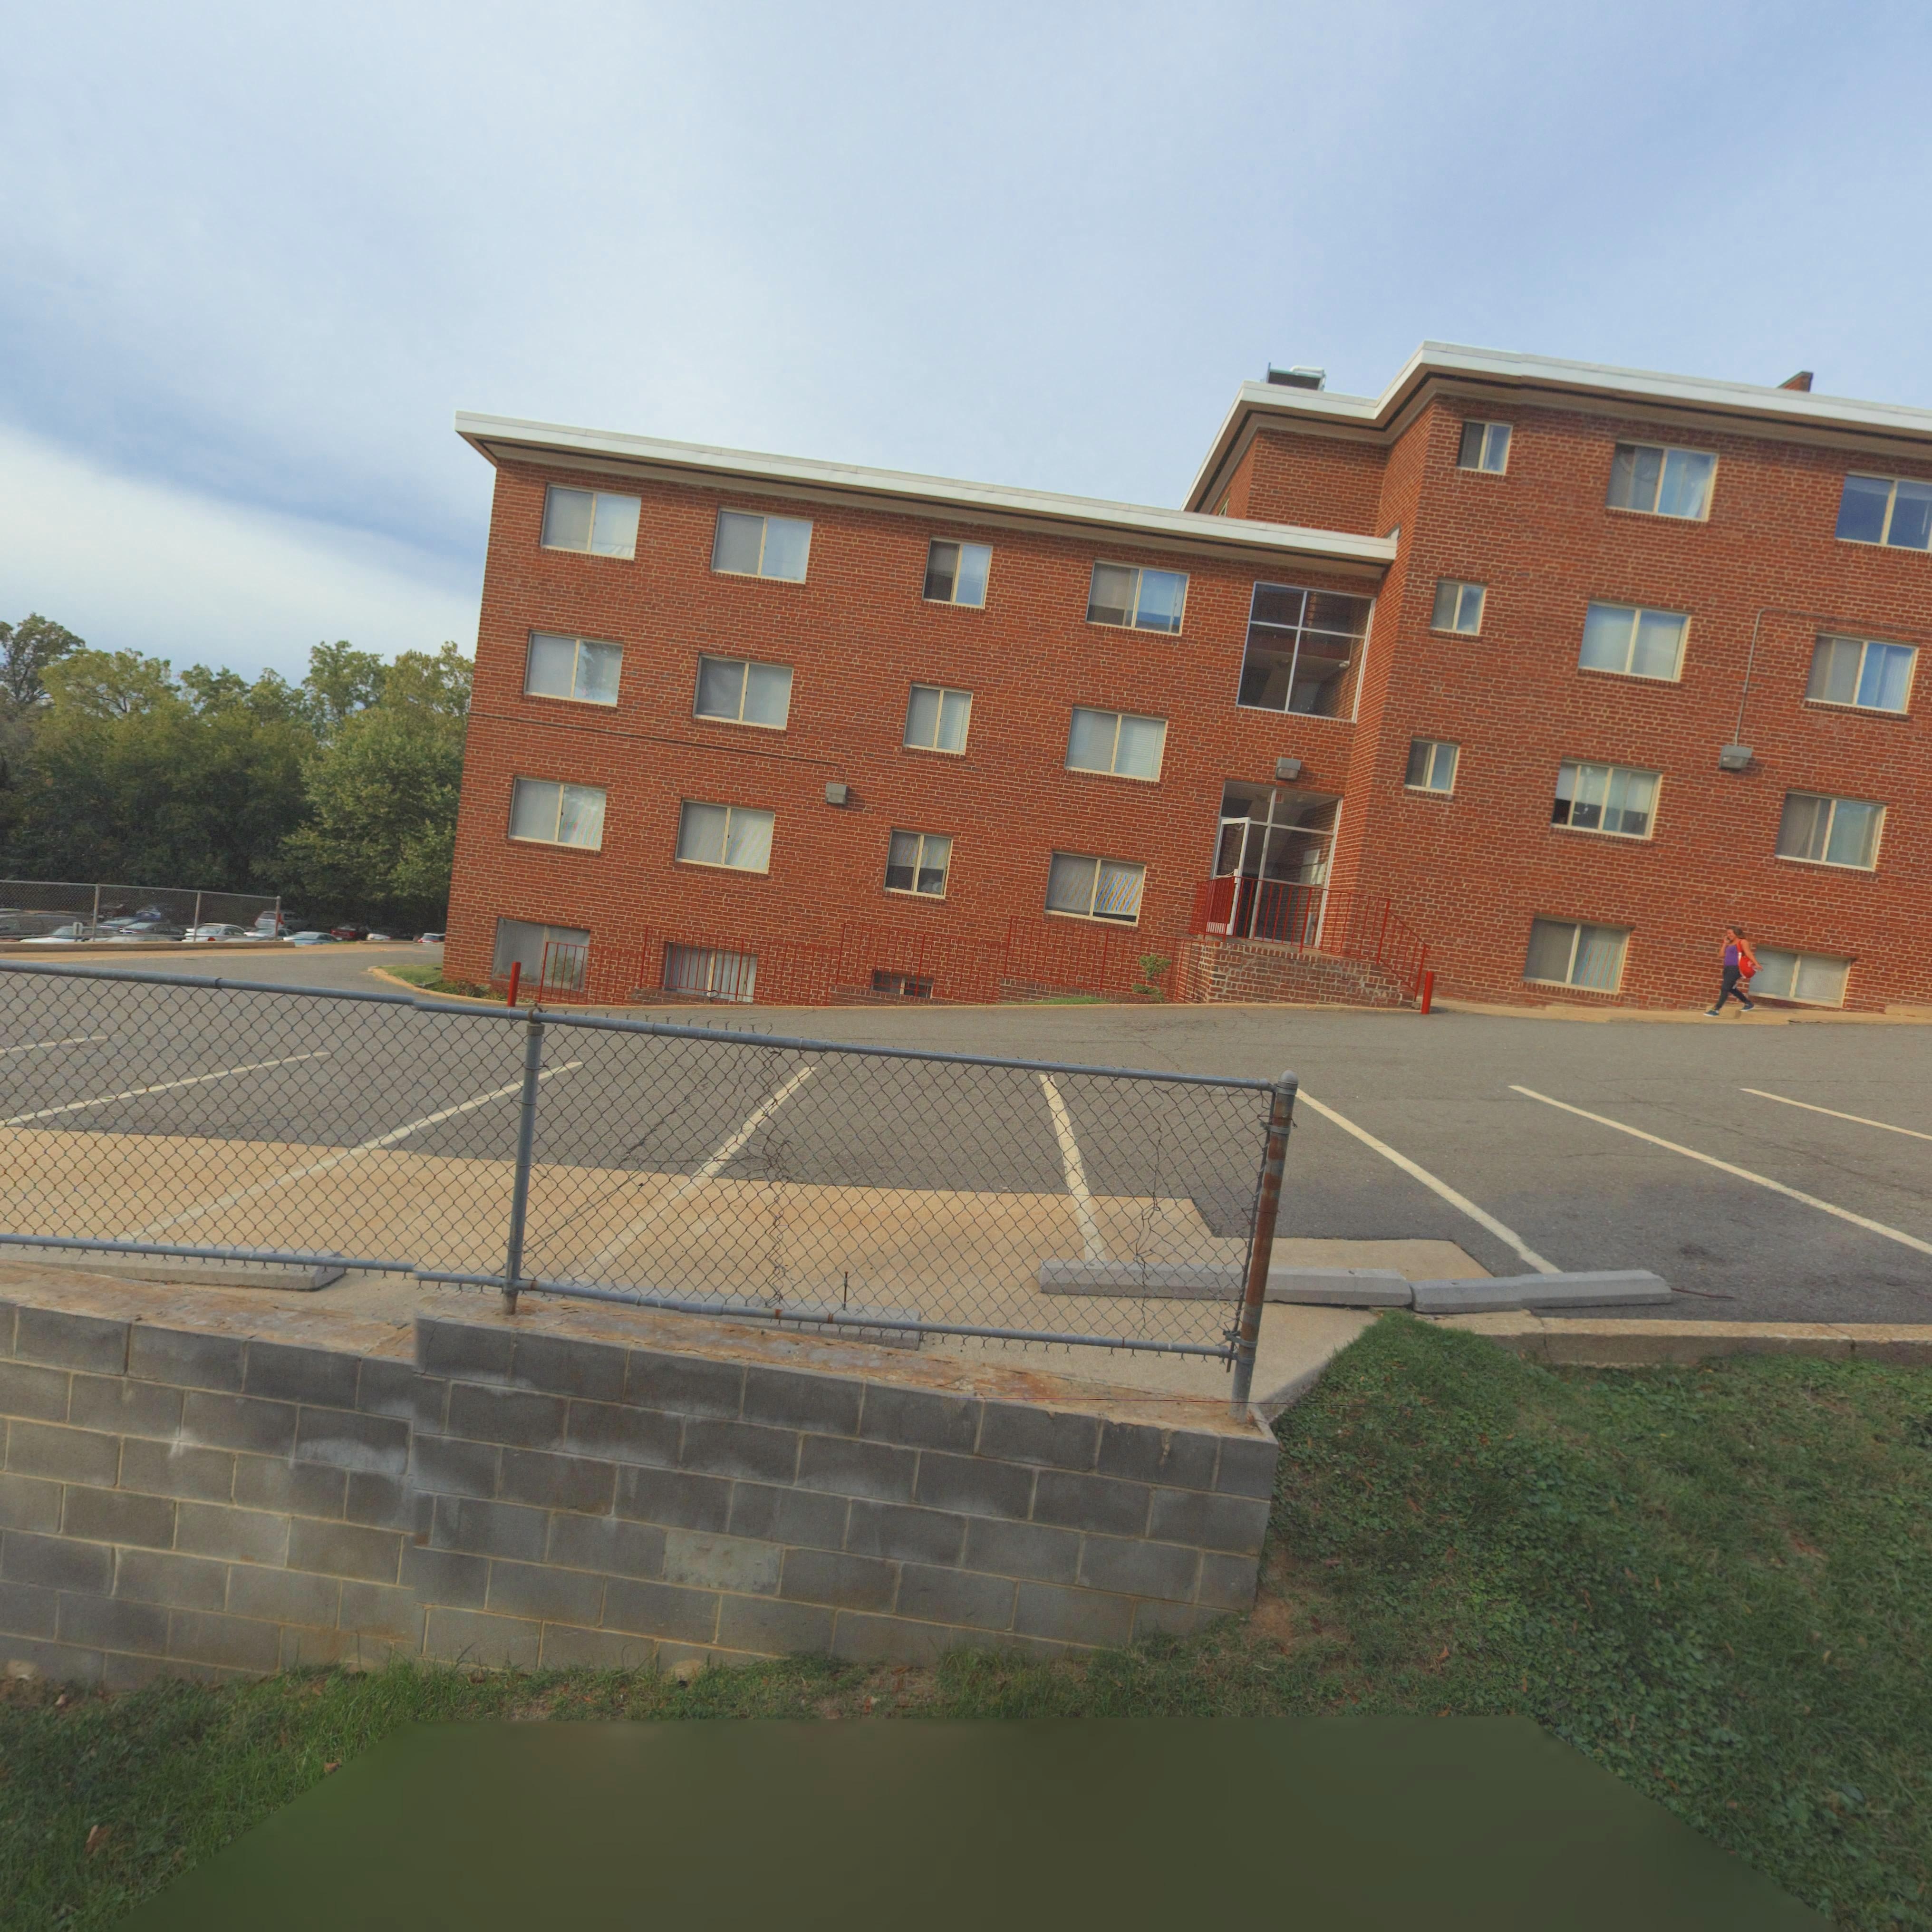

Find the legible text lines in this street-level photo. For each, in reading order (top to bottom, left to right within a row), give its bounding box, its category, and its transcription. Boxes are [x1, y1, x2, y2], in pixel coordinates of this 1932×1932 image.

[1275, 793, 1283, 802] None: IT